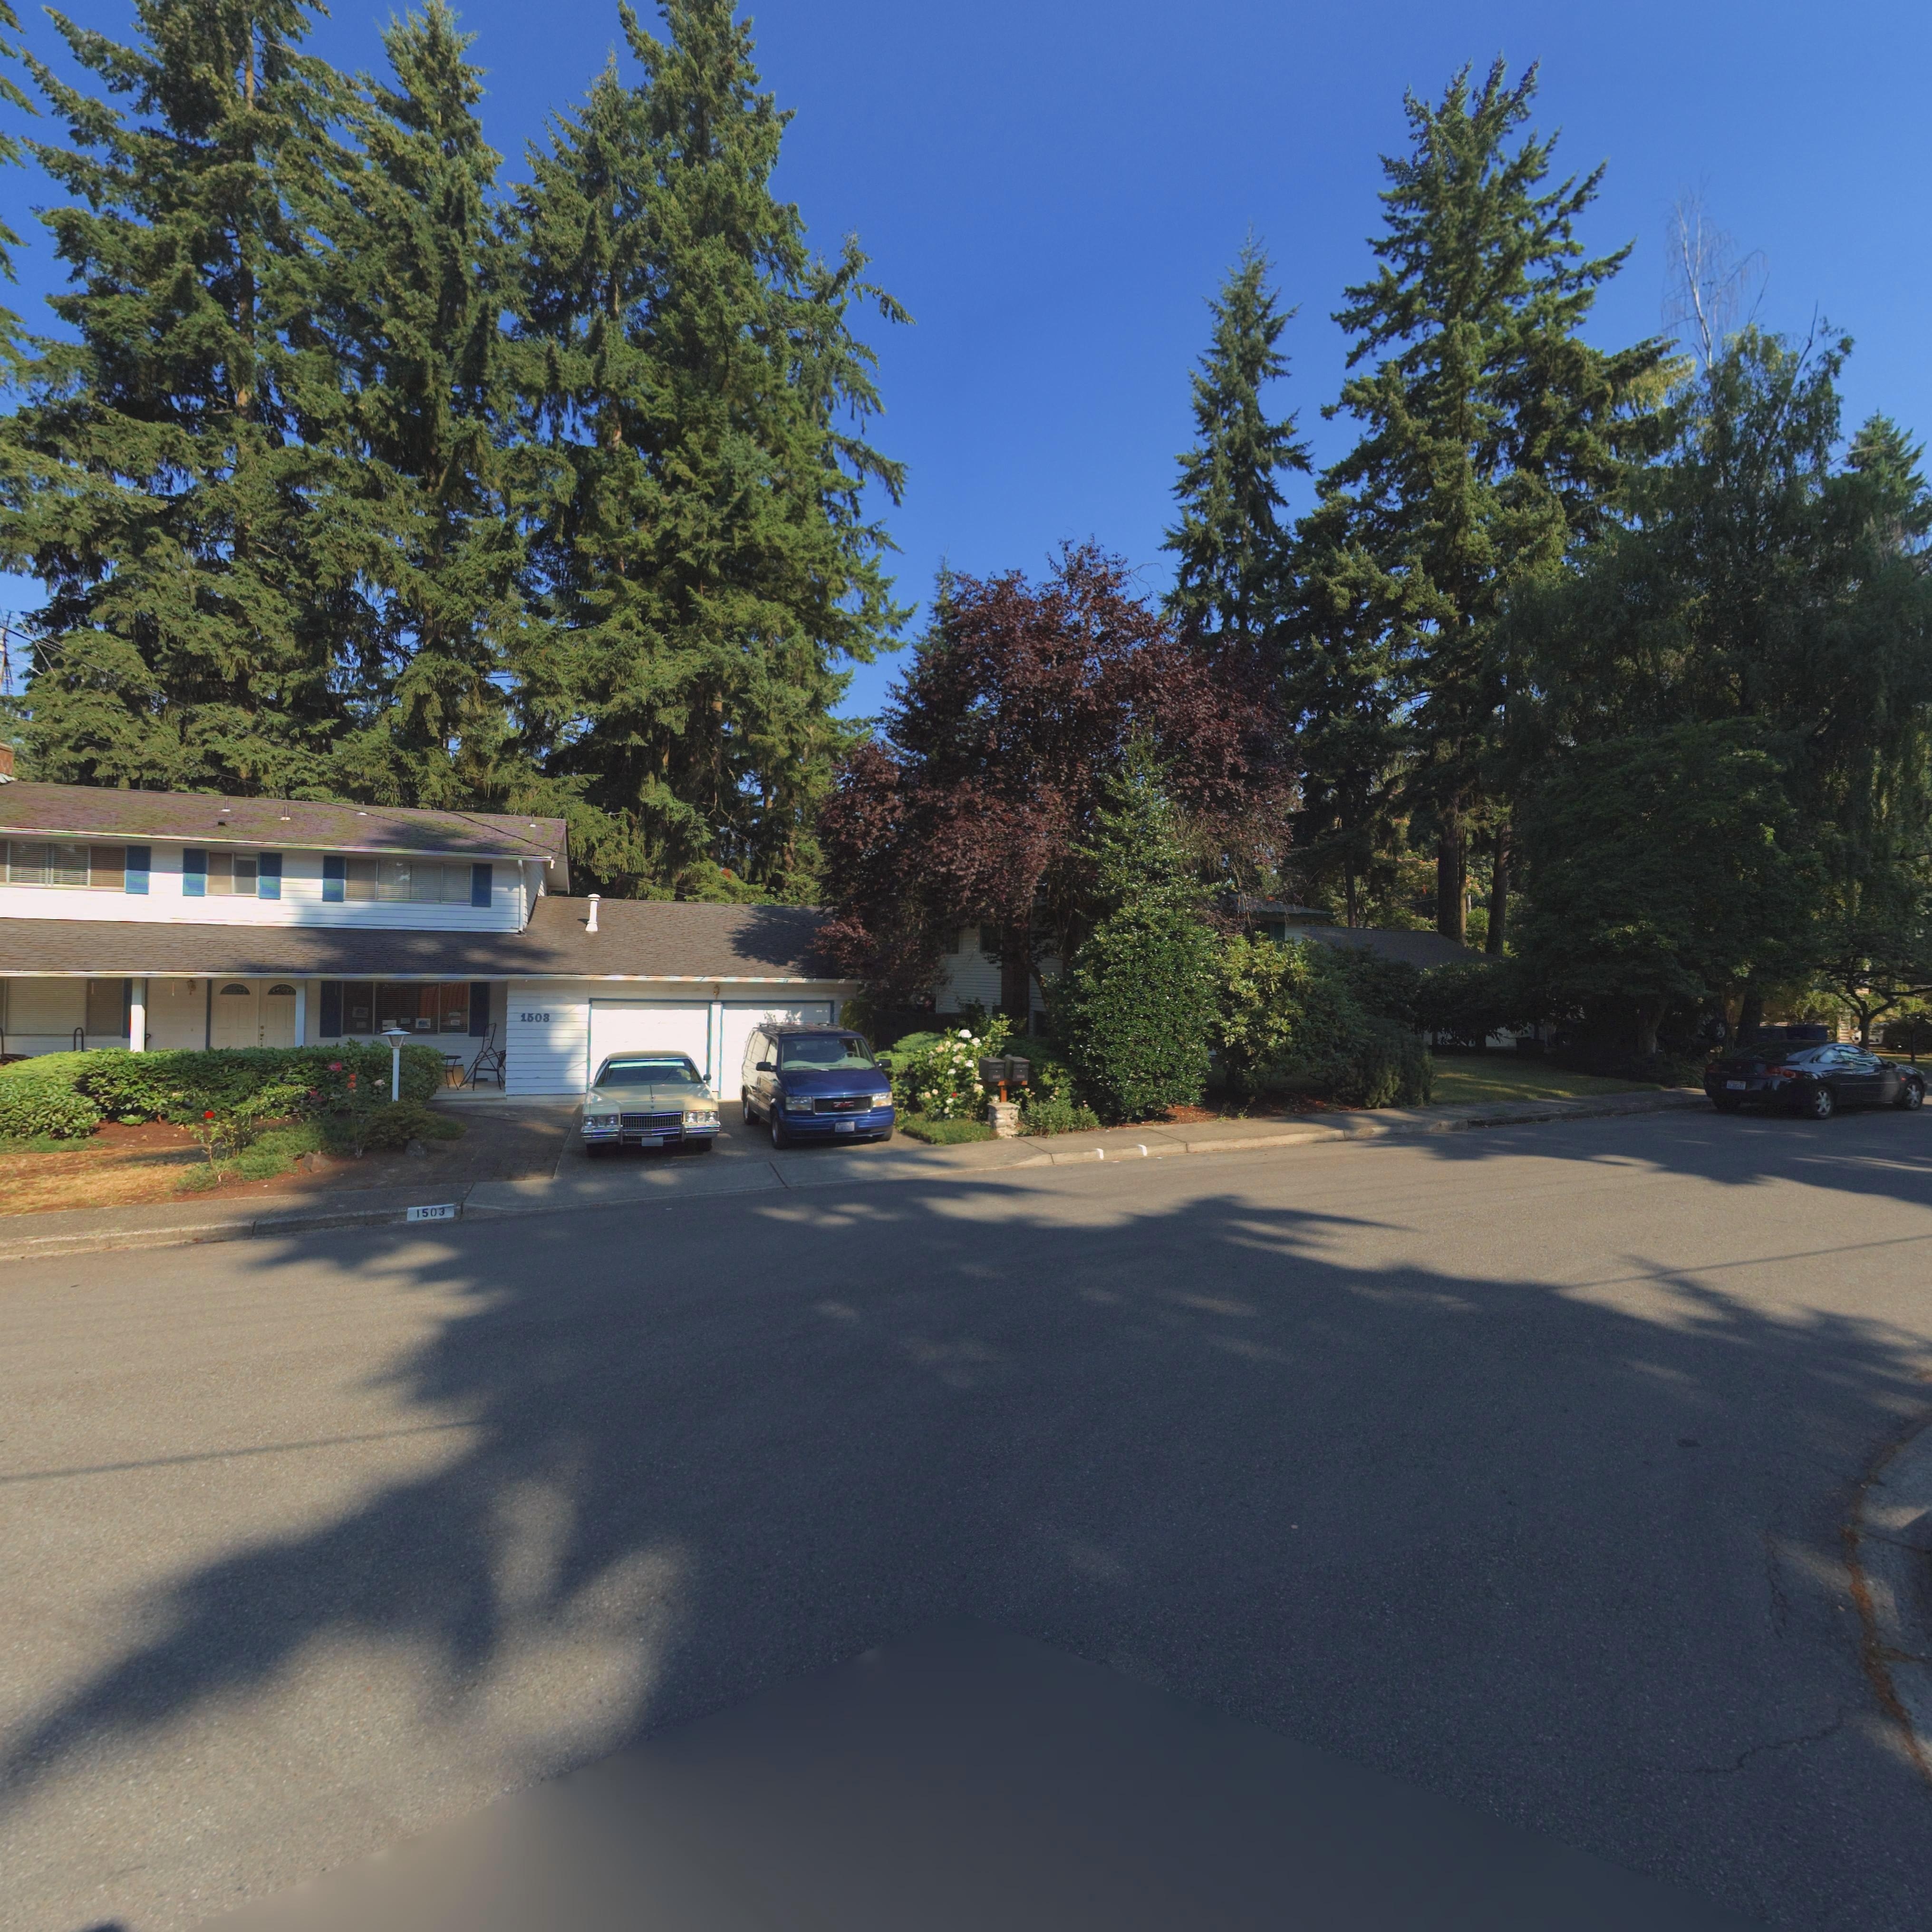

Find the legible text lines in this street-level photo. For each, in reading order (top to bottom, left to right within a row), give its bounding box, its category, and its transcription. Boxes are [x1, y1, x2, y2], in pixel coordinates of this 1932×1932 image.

[520, 1012, 550, 1022] StreetNumber: 1503
[416, 1207, 446, 1217] StreetNumber: 1503